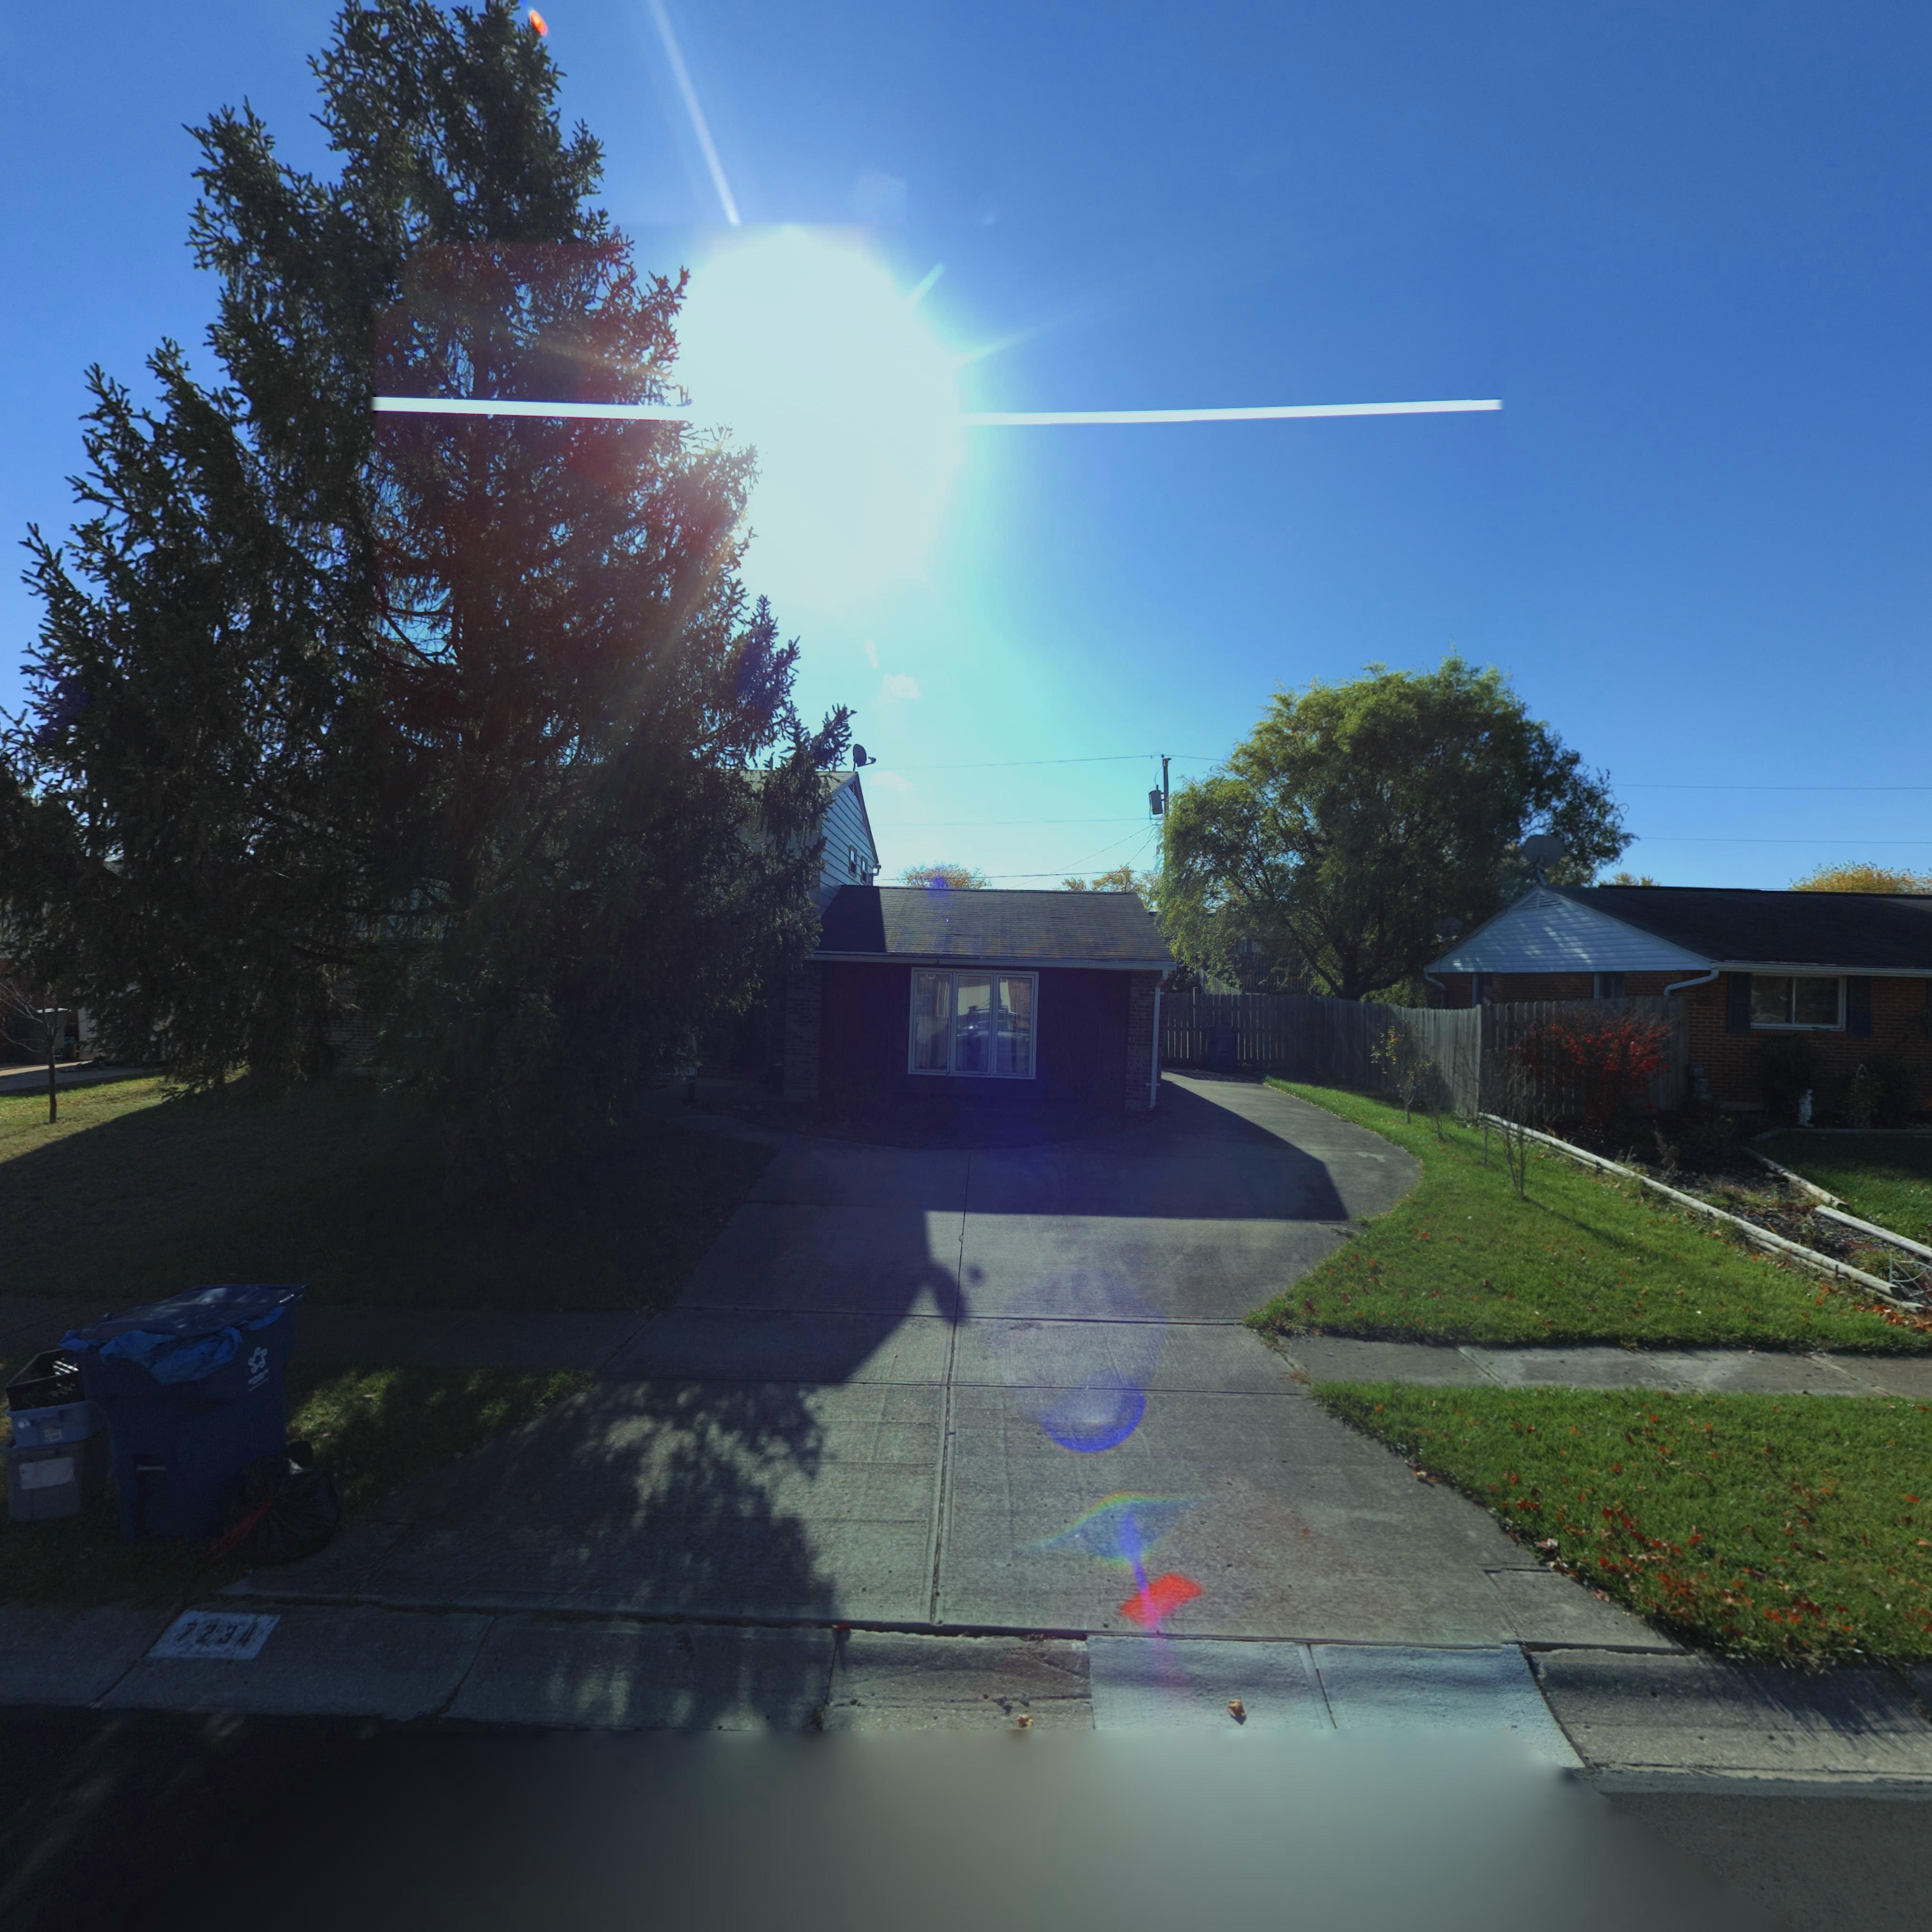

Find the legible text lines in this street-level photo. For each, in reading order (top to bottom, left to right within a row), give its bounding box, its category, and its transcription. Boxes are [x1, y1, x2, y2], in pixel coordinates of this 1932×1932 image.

[173, 1620, 260, 1648] StreetNumber: 7234